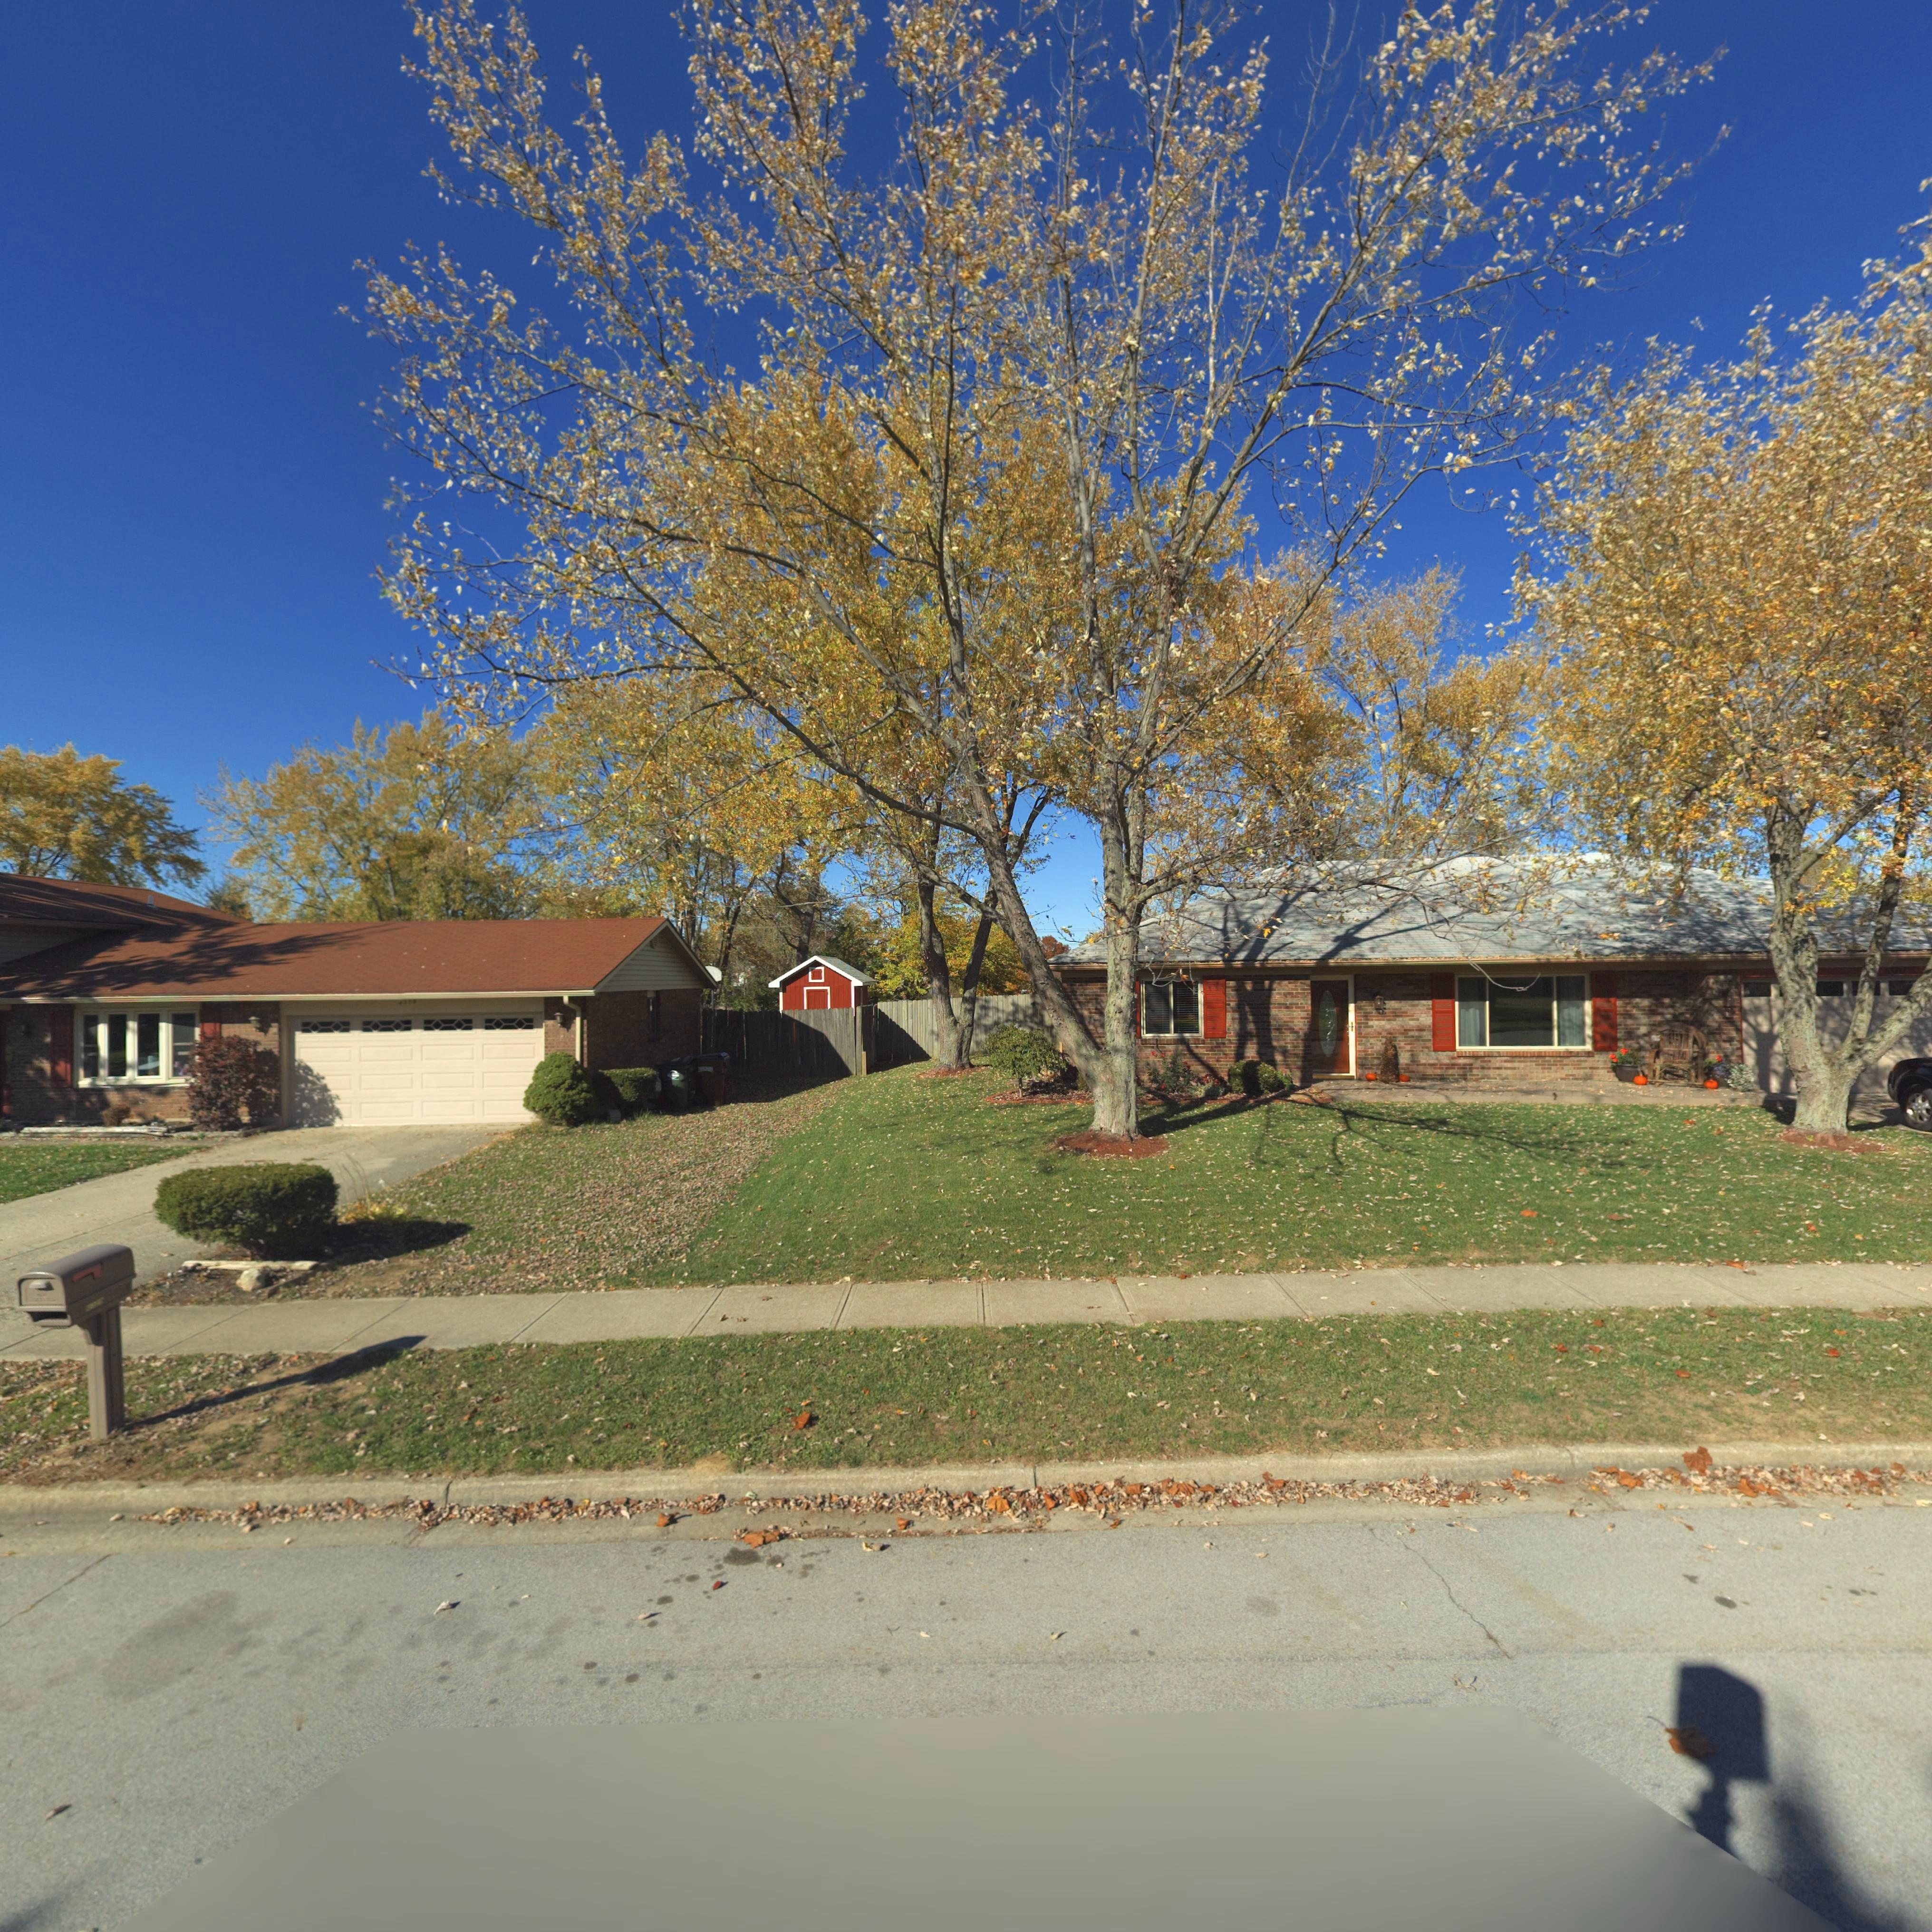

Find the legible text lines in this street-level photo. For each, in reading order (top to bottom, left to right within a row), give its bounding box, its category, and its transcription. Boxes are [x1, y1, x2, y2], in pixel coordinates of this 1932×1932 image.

[397, 999, 416, 1005] StreetNumber: 4*09
[86, 1295, 105, 1313] StreetNumber: 4*09